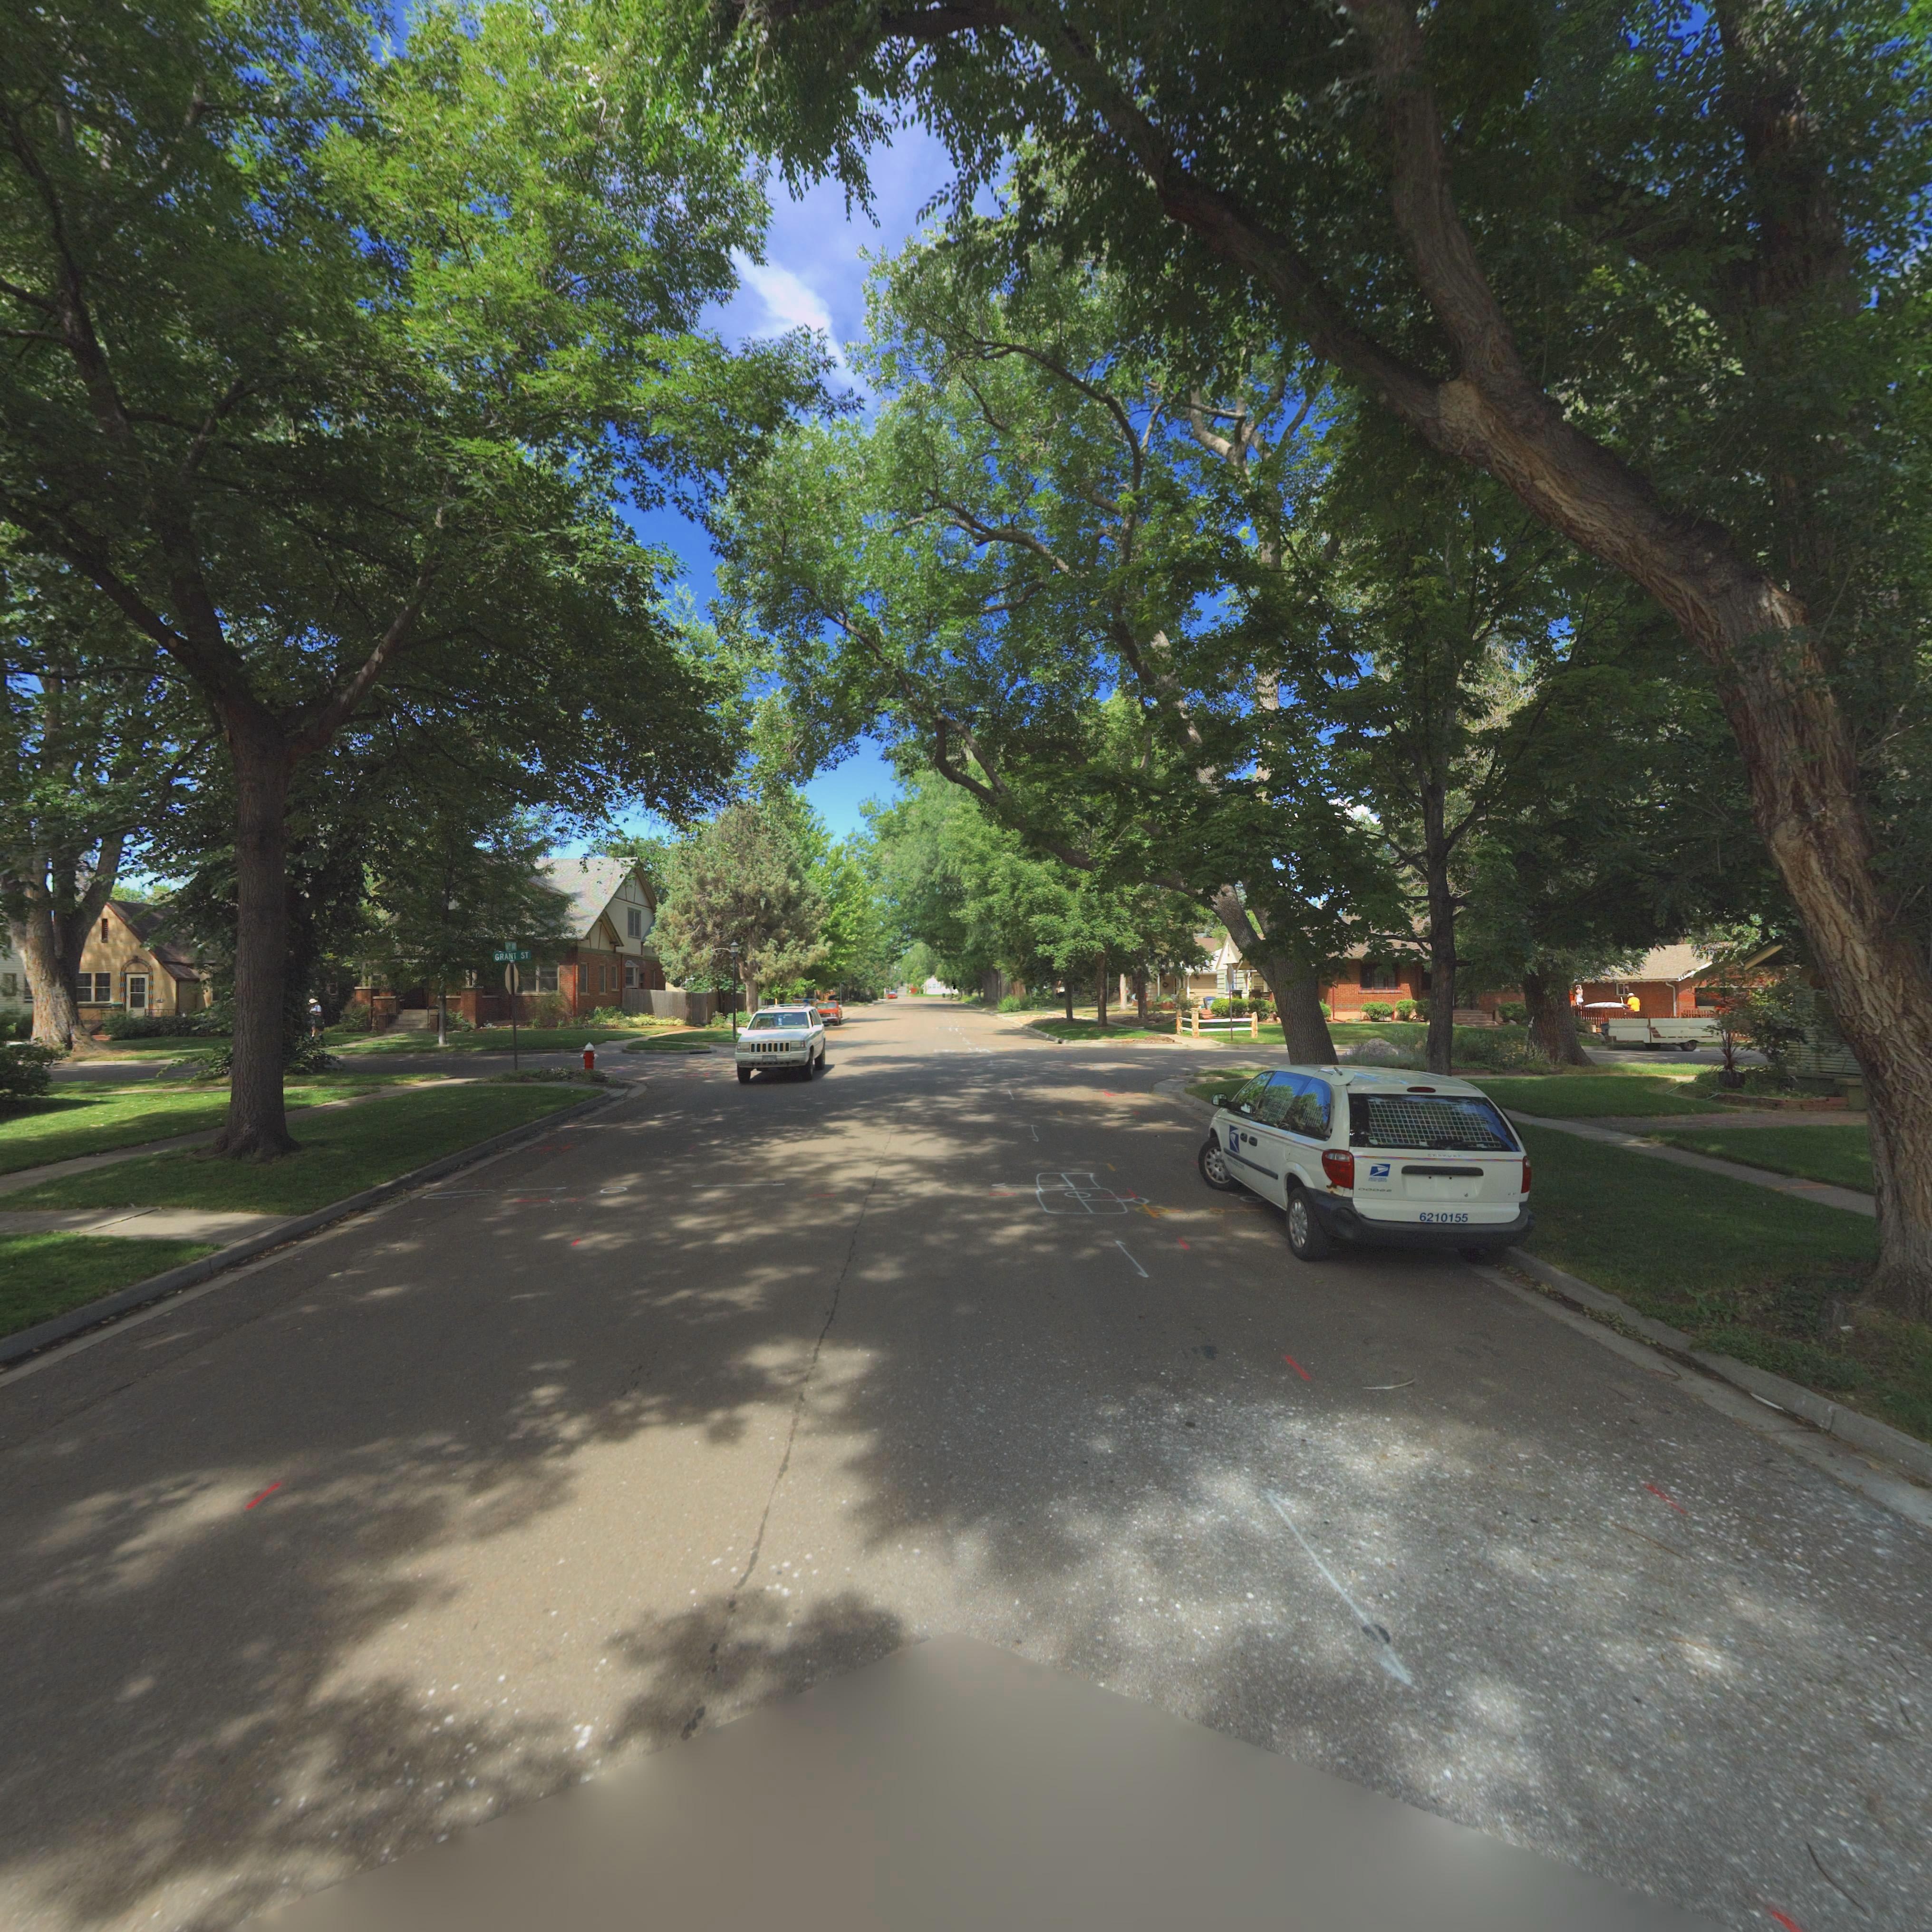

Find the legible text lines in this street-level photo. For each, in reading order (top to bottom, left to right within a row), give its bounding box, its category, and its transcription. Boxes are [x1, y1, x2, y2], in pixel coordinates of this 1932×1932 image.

[495, 951, 529, 961] StreetName: GRANT ST